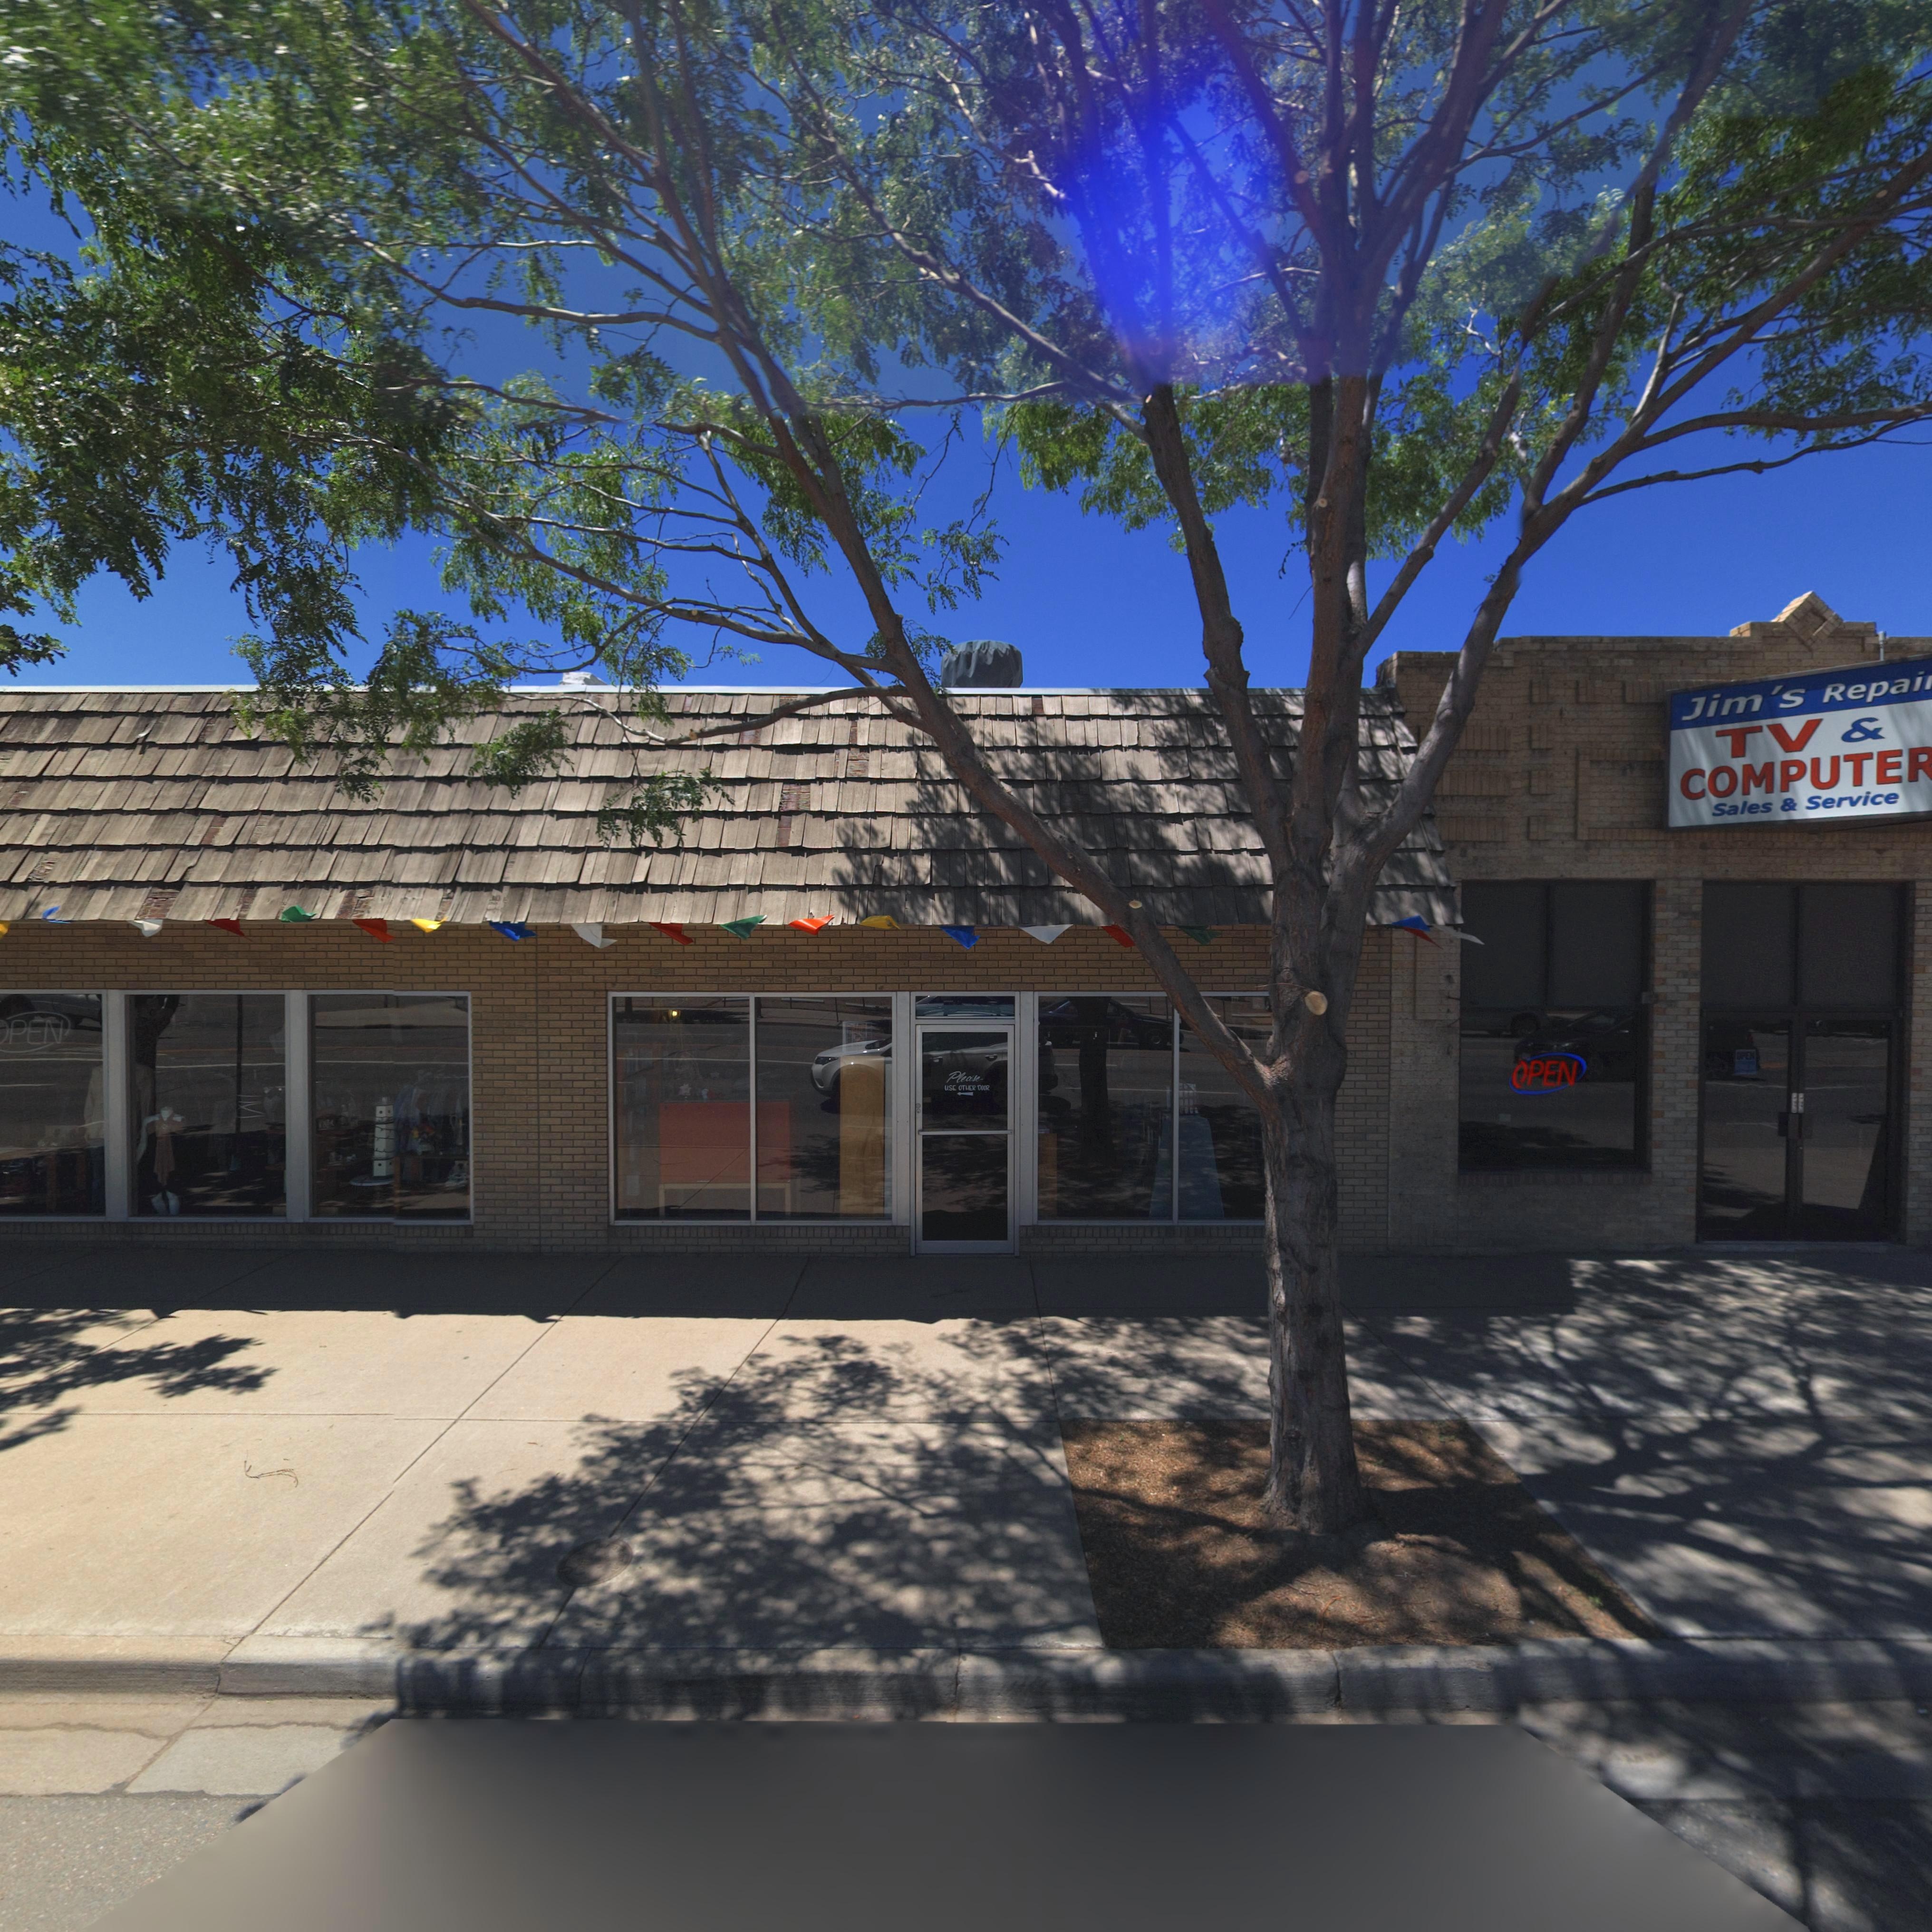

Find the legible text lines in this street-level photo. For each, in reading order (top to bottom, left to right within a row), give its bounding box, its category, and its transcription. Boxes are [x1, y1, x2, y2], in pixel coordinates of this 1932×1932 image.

[1681, 670, 1925, 722] BusinessName: Jim's Repai
[1715, 716, 1886, 759] BusinessName: TV &
[1679, 745, 1932, 801] BusinessName: COMPUTER